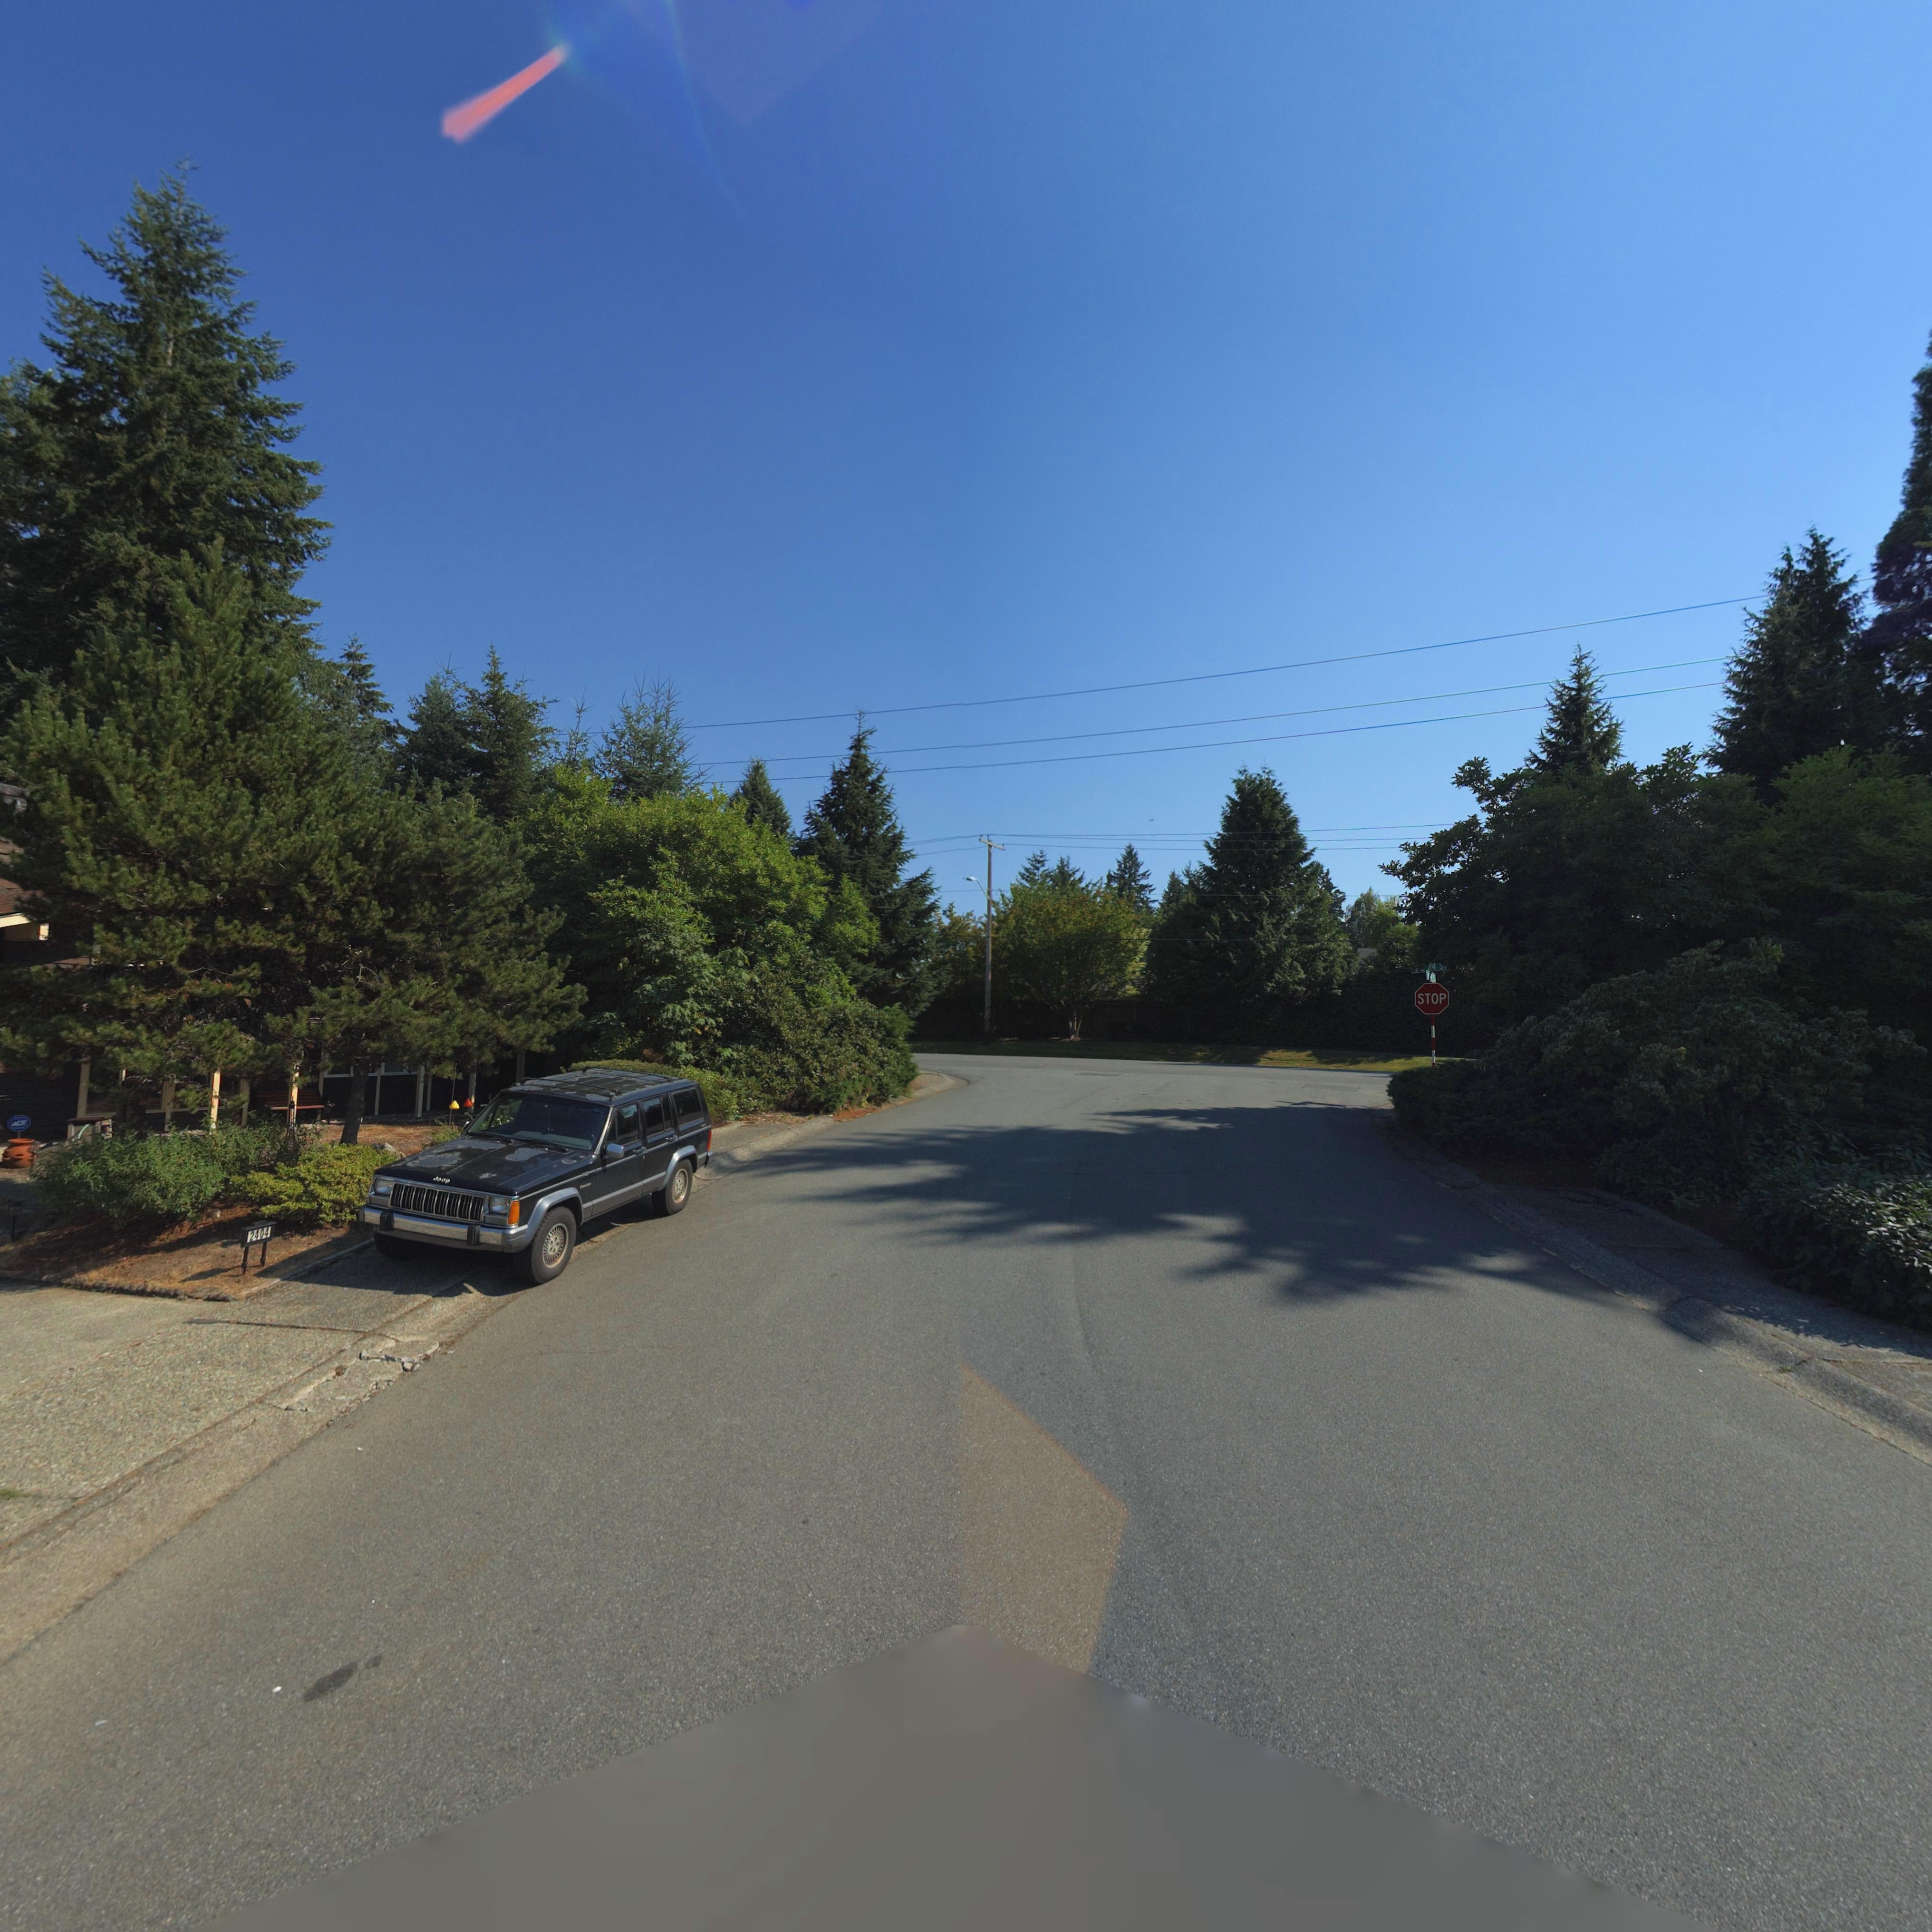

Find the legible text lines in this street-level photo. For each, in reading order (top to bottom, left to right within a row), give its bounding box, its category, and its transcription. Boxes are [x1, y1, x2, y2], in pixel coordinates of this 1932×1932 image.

[249, 1226, 270, 1242] StreetNumber: 2404